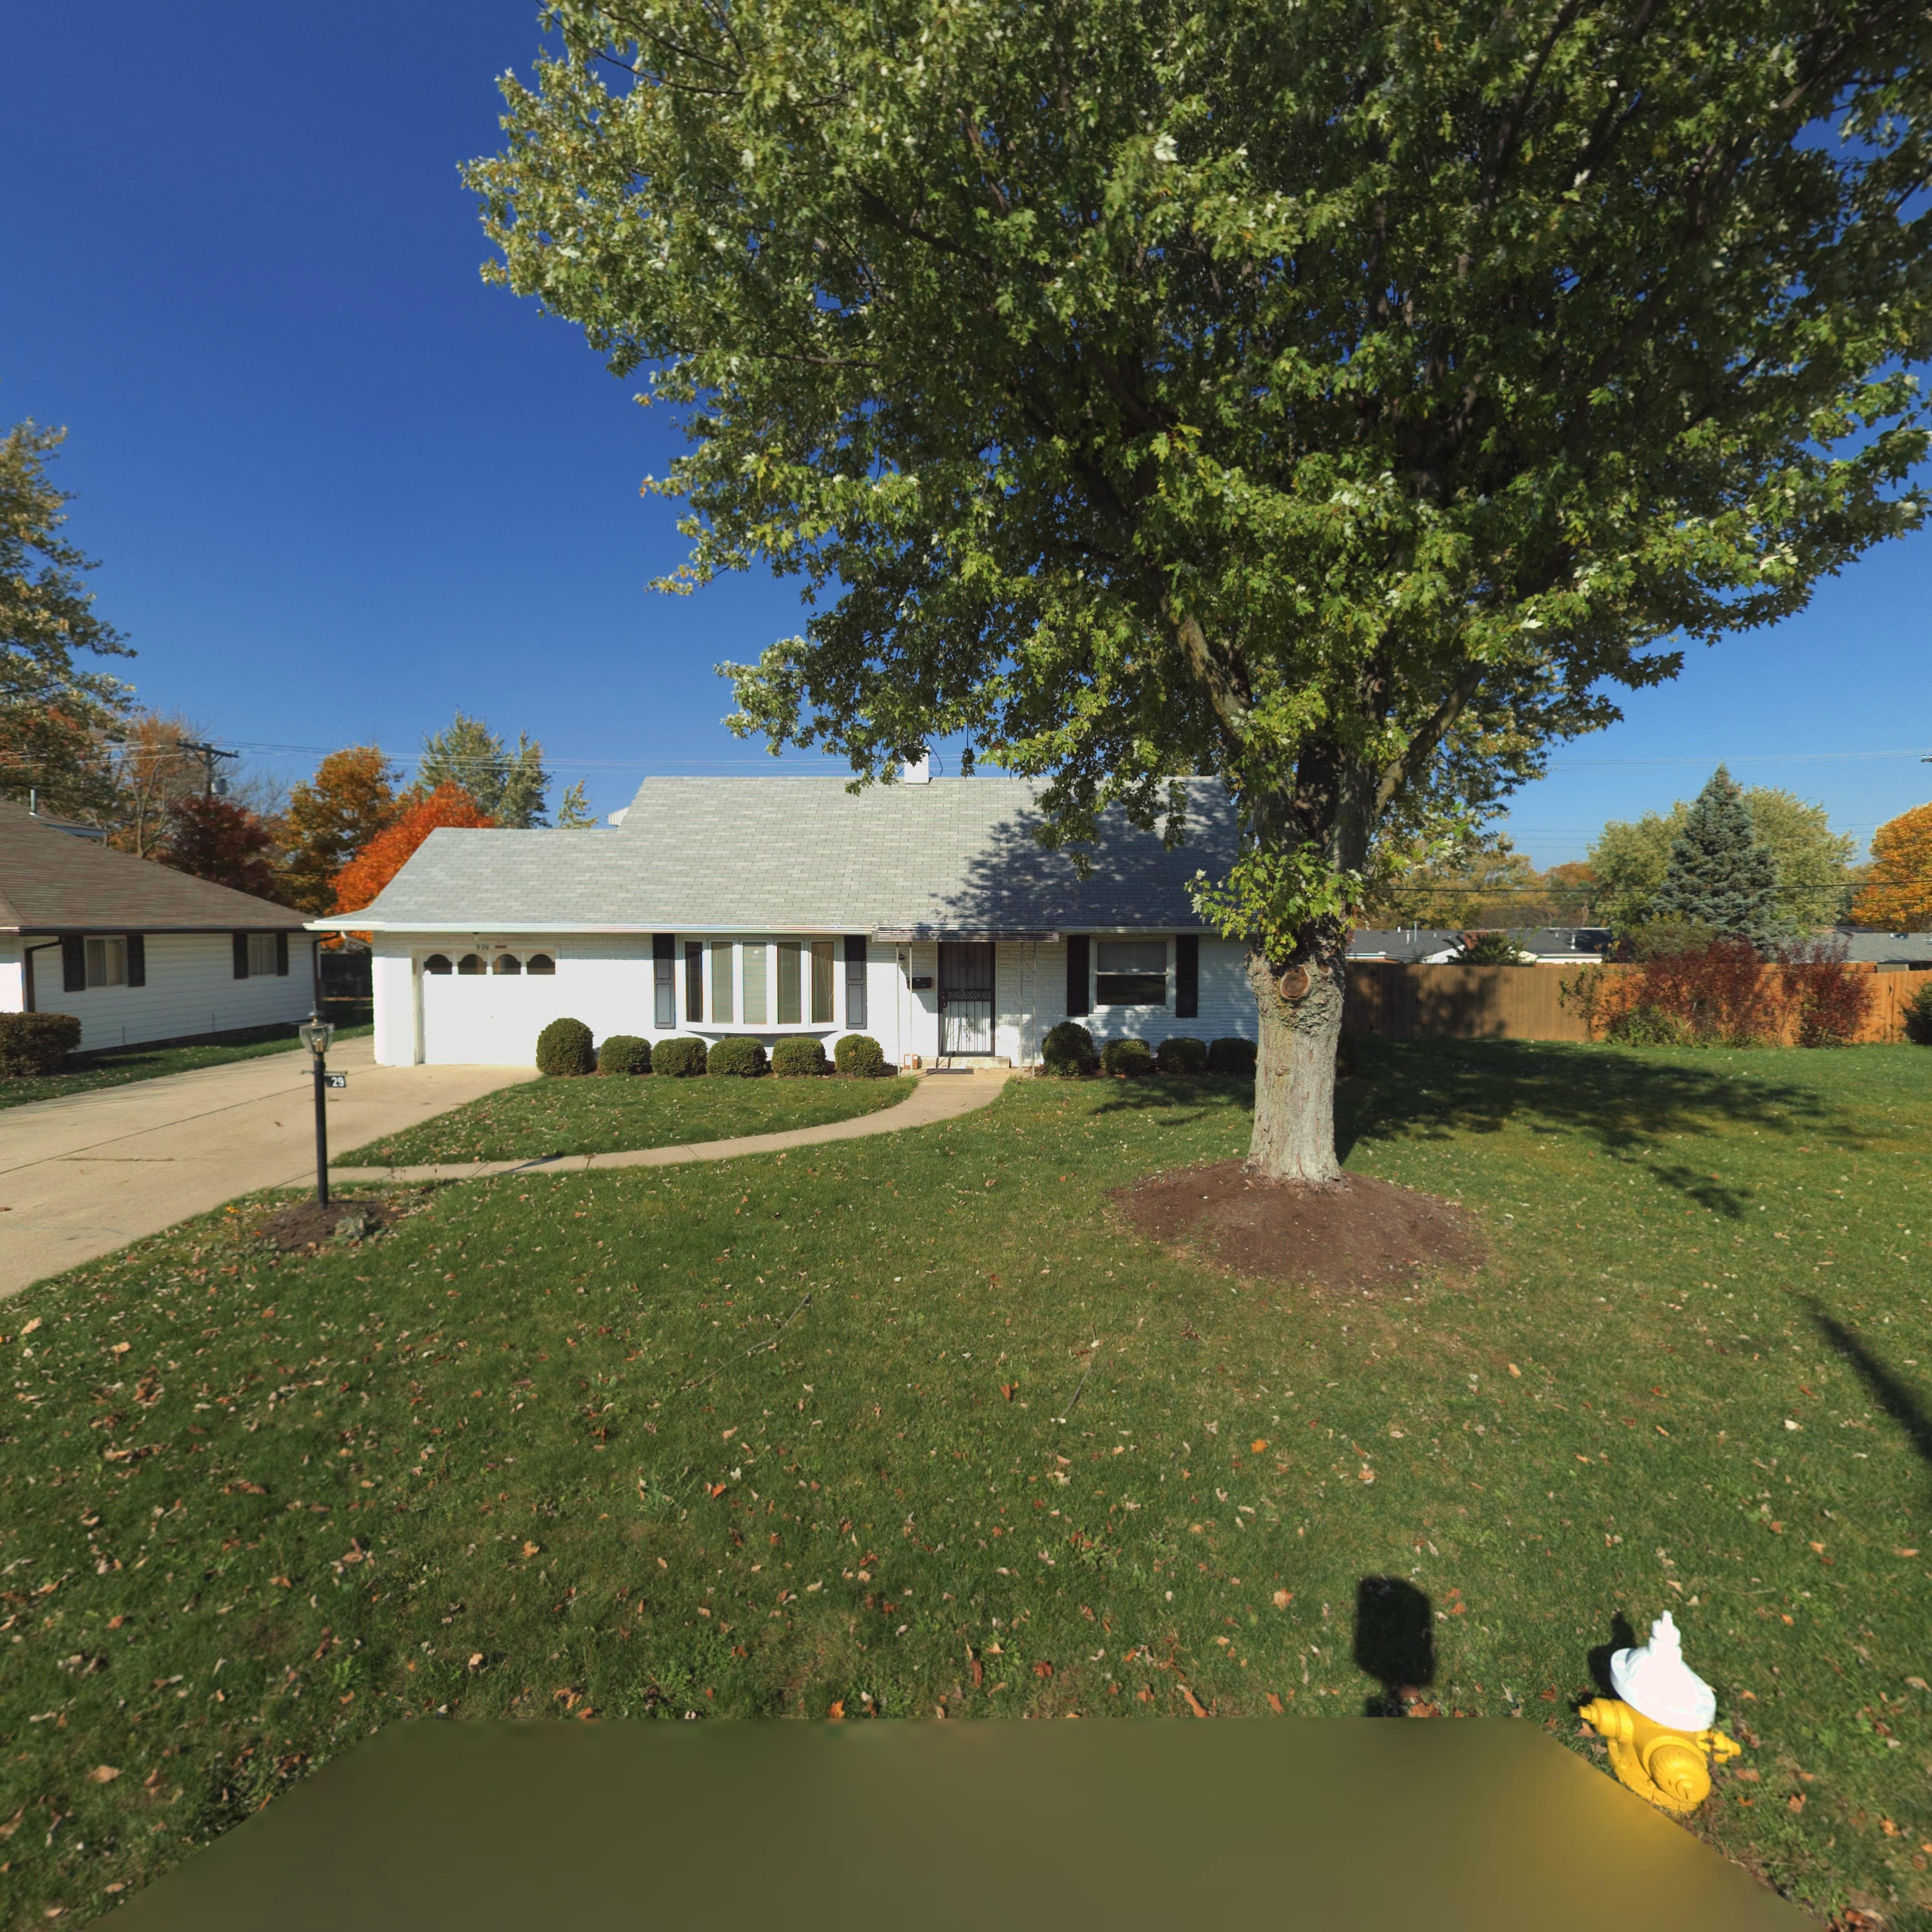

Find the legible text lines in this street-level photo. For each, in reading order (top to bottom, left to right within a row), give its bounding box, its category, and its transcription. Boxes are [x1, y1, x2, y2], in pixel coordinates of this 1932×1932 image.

[475, 944, 490, 951] StreetNumber: 929
[330, 1076, 346, 1087] StreetNumber: 29